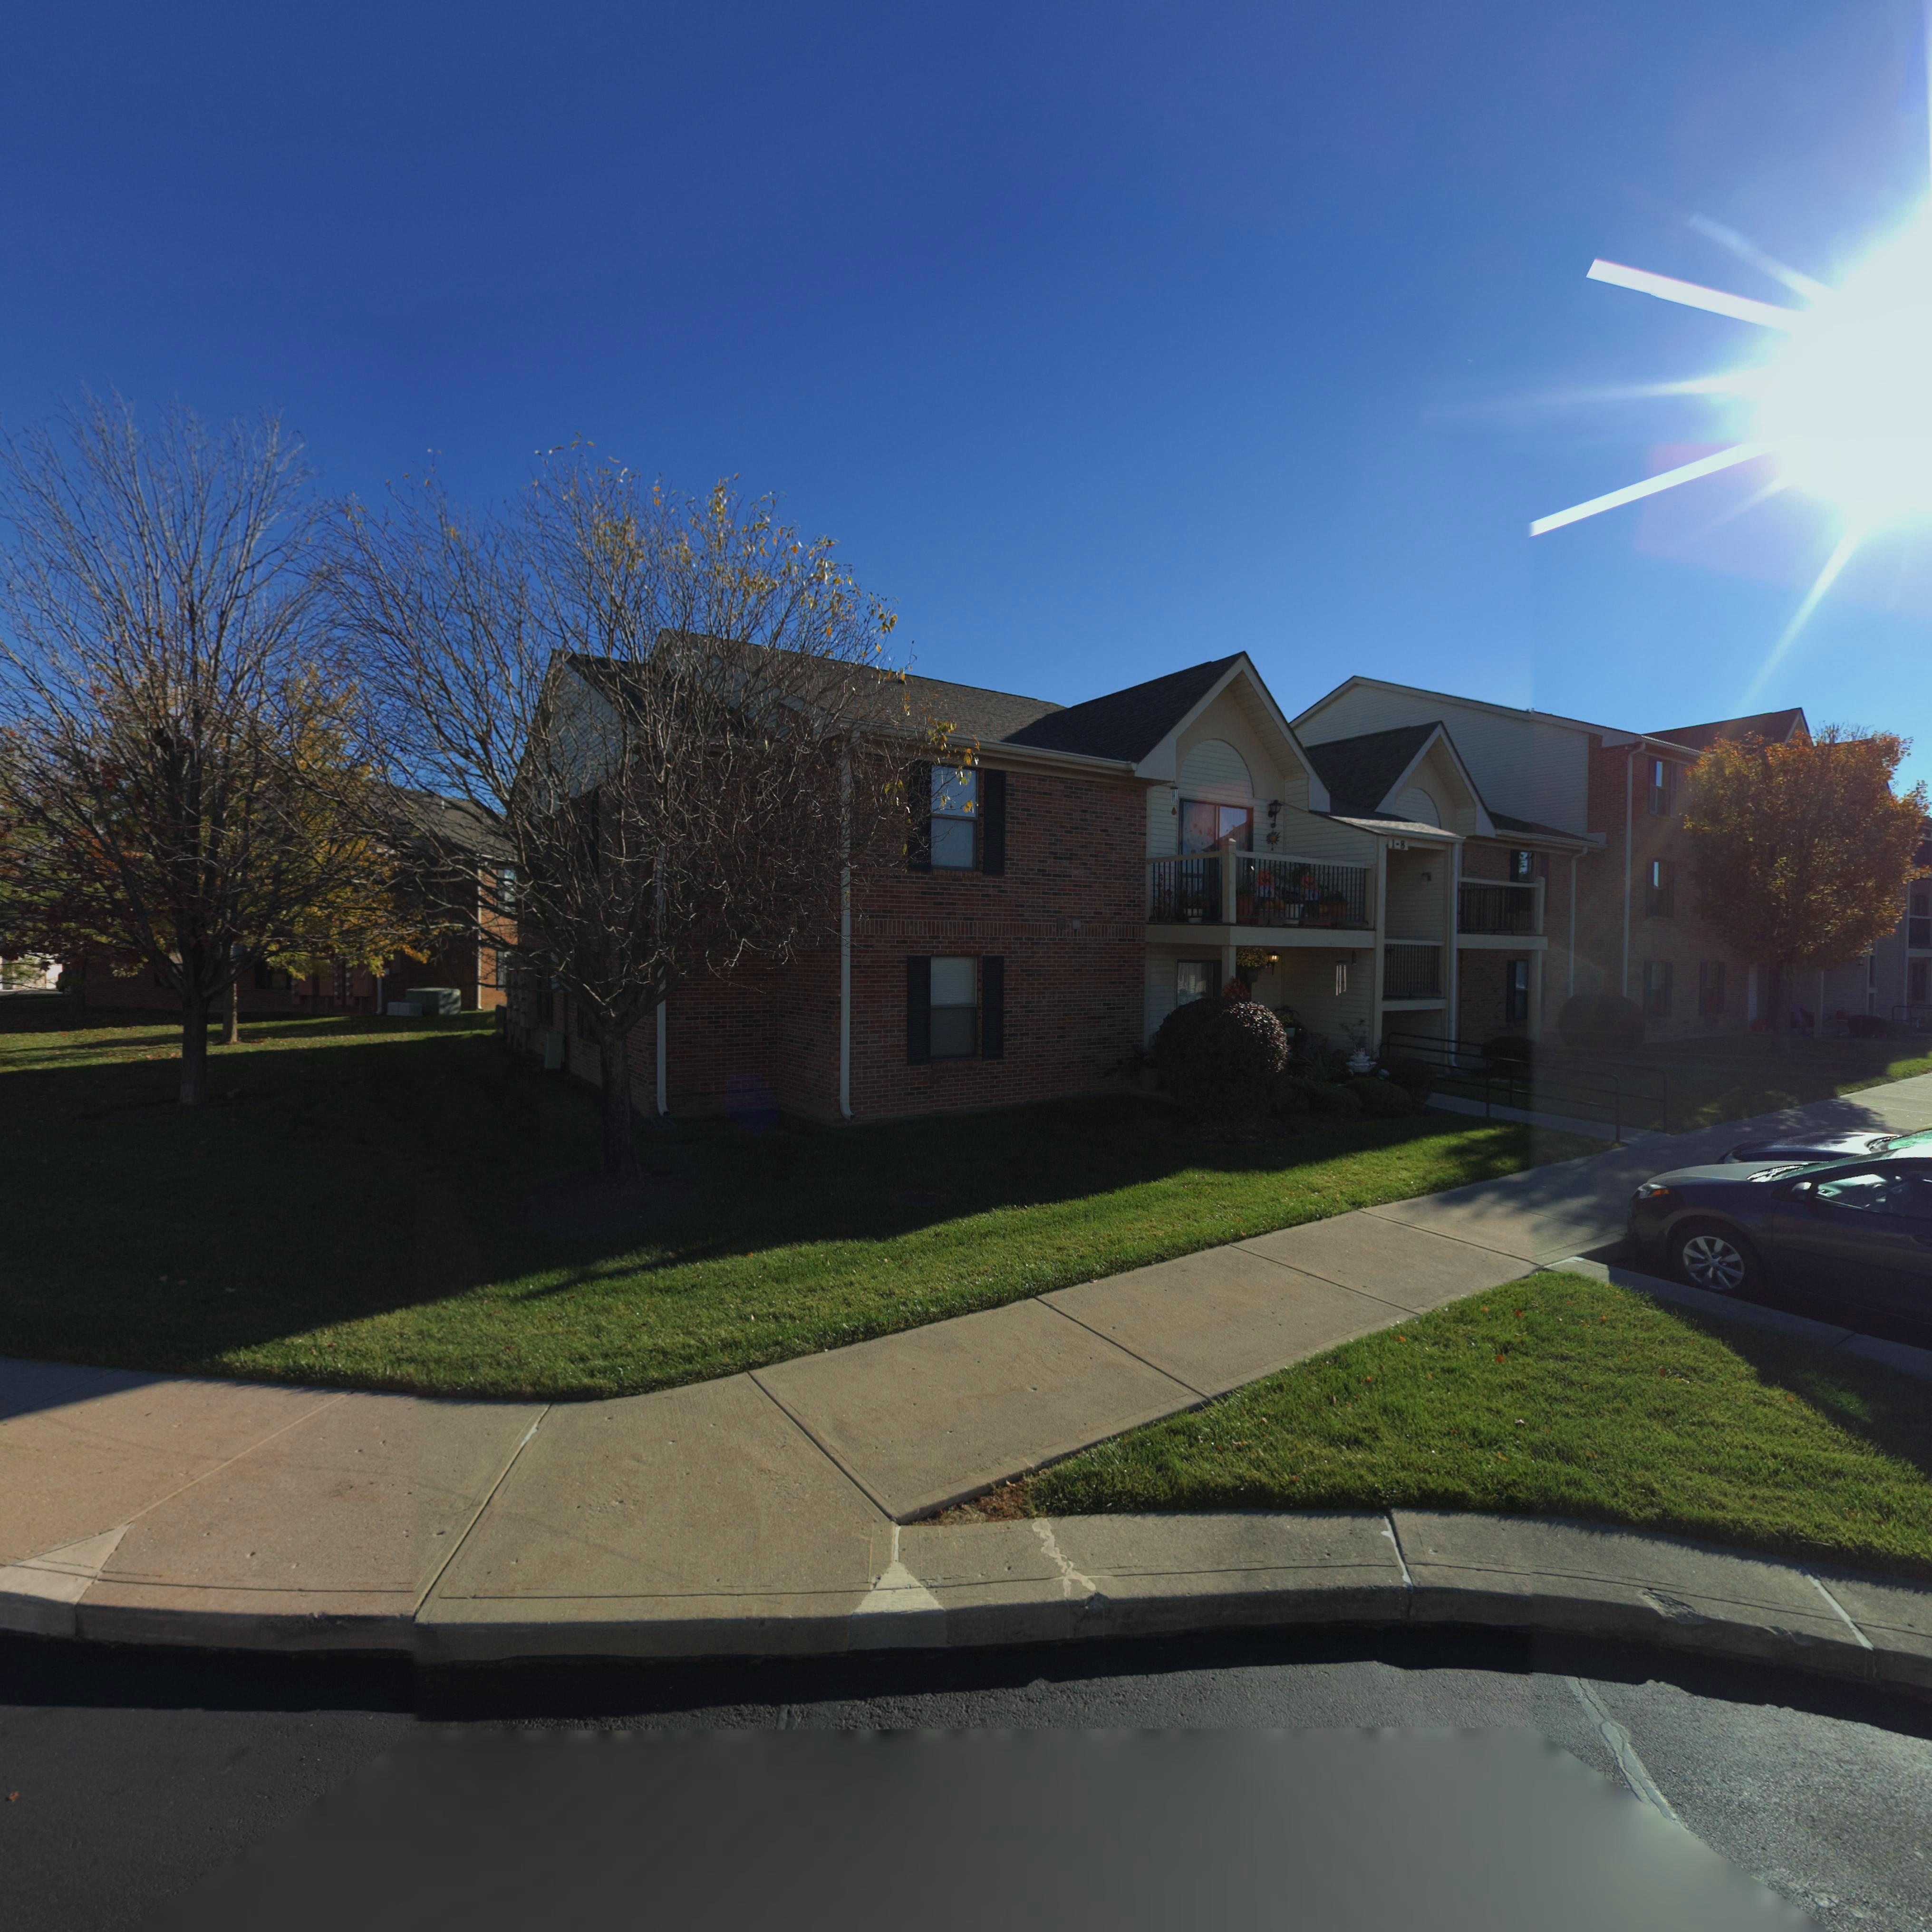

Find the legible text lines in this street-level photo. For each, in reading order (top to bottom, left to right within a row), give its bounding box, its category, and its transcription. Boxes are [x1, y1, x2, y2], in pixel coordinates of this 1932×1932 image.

[1391, 838, 1406, 850] StreetNumber: 1-8